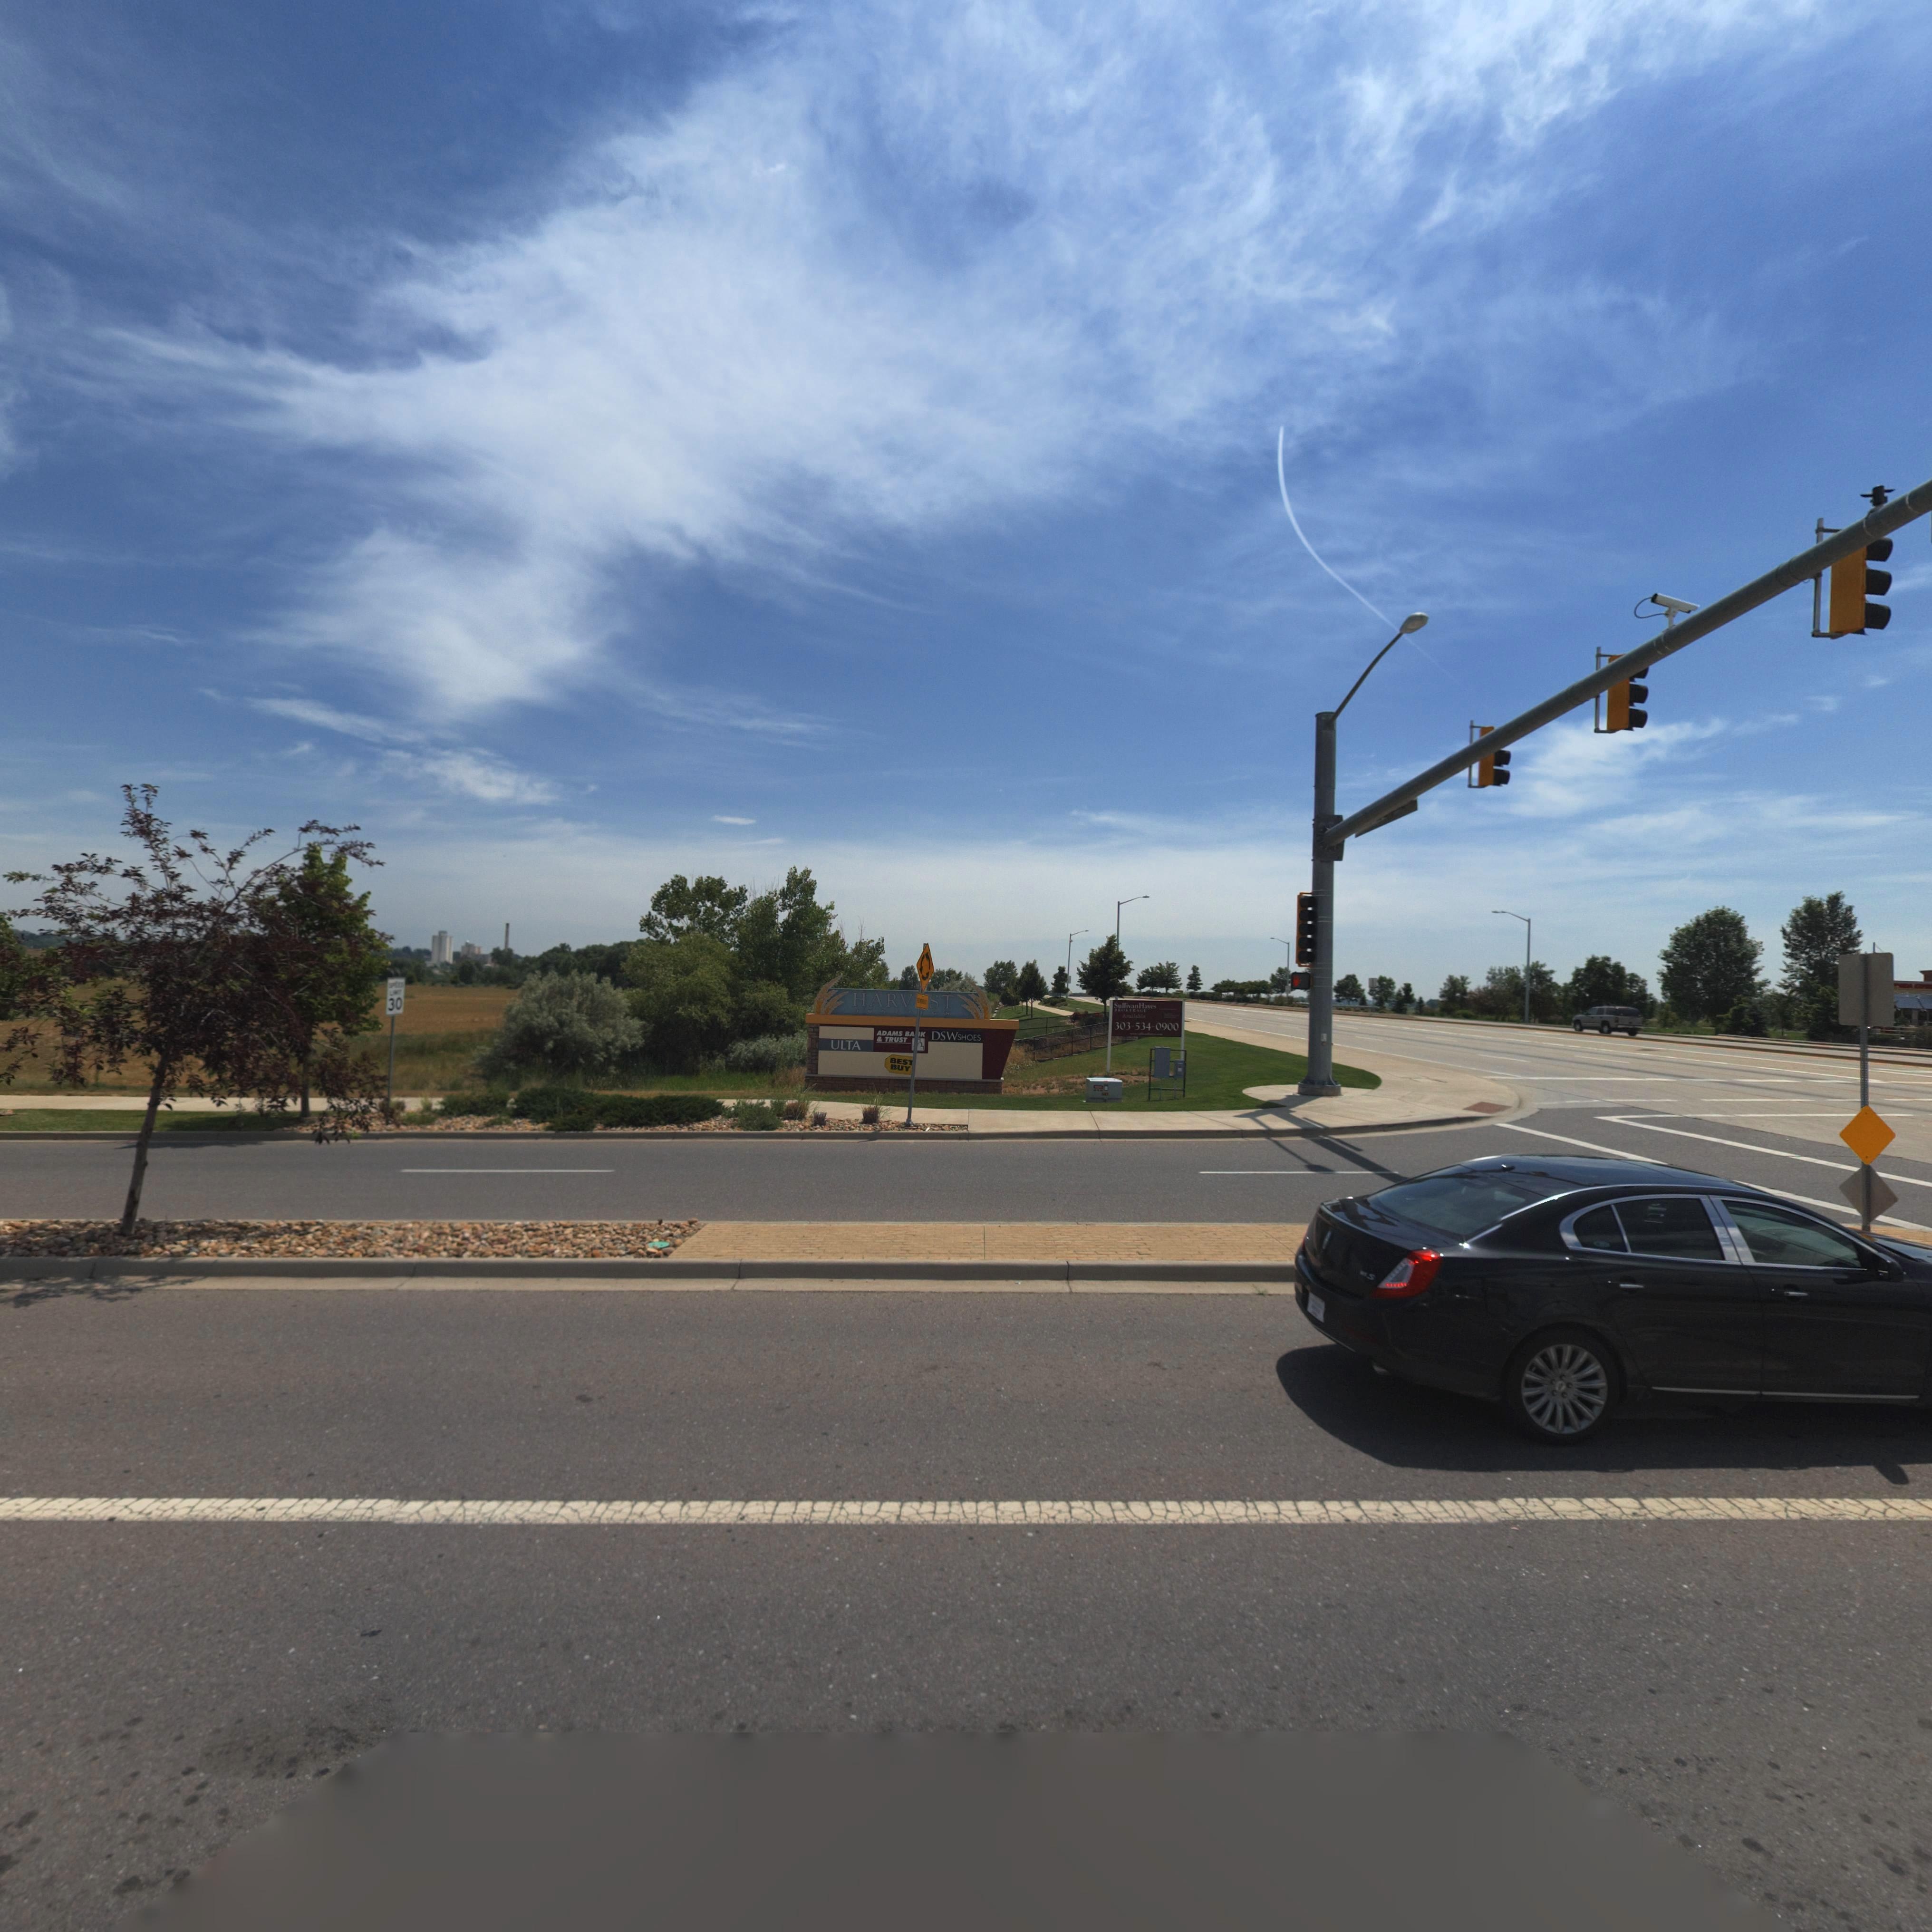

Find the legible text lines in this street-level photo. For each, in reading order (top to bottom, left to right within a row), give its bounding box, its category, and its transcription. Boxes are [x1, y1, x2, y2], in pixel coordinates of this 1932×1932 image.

[876, 1036, 908, 1042] BusinessName: * TRUST
[876, 1030, 926, 1037] BusinessName: ADAMS BA*K
[930, 1030, 981, 1041] BusinessName: DSW SHOES
[831, 1039, 861, 1050] BusinessName: ULTA
[889, 1056, 913, 1066] BusinessName: BEST
[890, 1063, 910, 1072] BusinessName: BUY